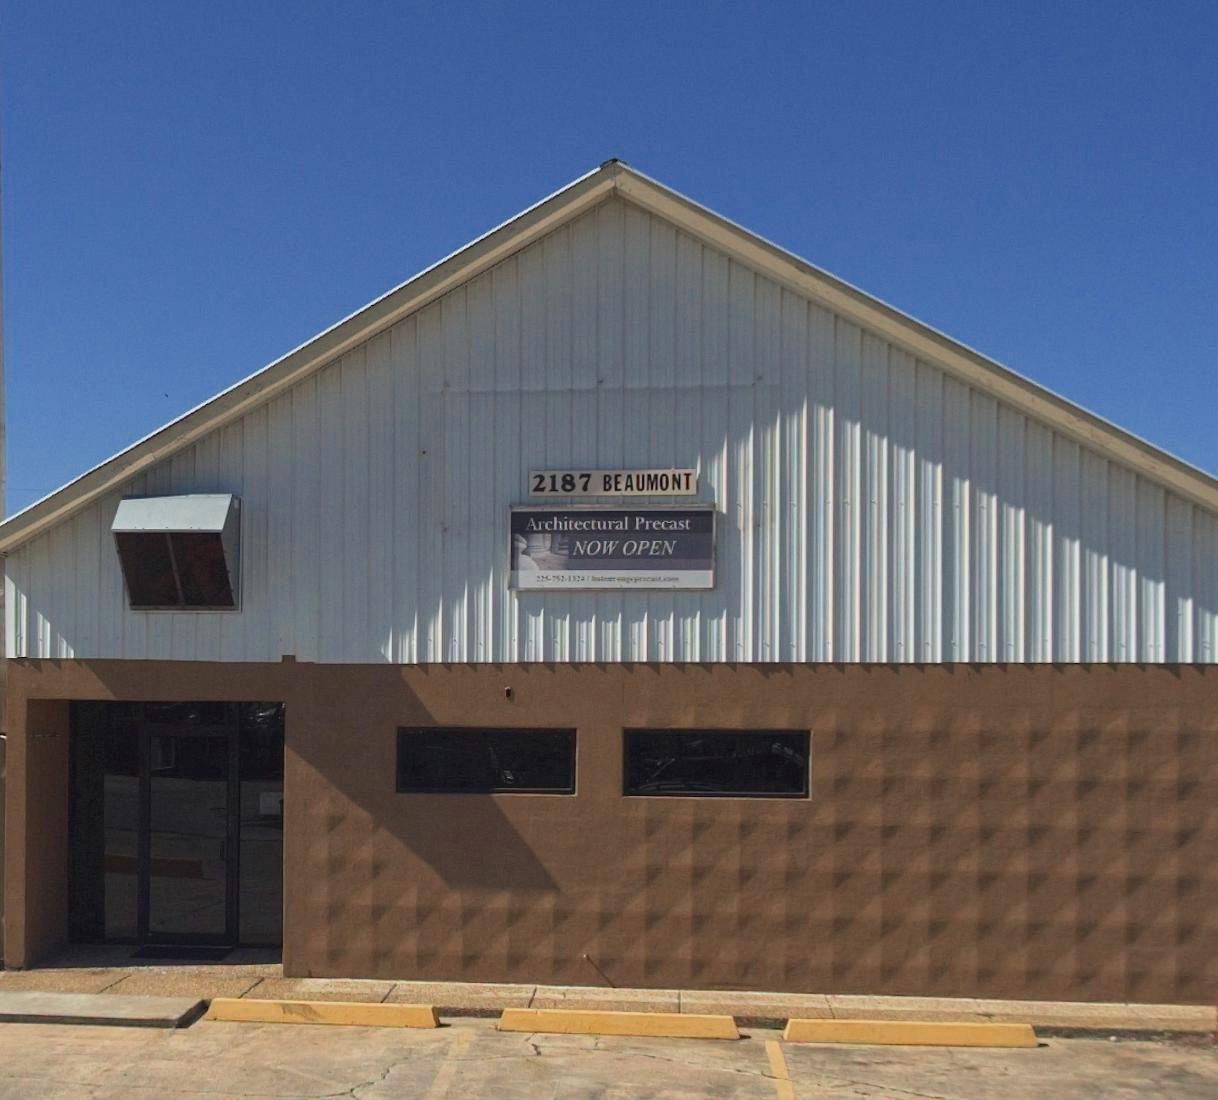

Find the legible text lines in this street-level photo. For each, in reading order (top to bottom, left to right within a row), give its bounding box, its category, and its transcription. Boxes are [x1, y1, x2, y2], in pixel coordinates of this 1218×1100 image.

[529, 470, 594, 495] StreetNumber: 2187
[600, 469, 695, 494] StreetName: BEAUMONT
[520, 513, 694, 533] BusinessName: Architectural Precast
[568, 538, 682, 558] None: NOW OPEN